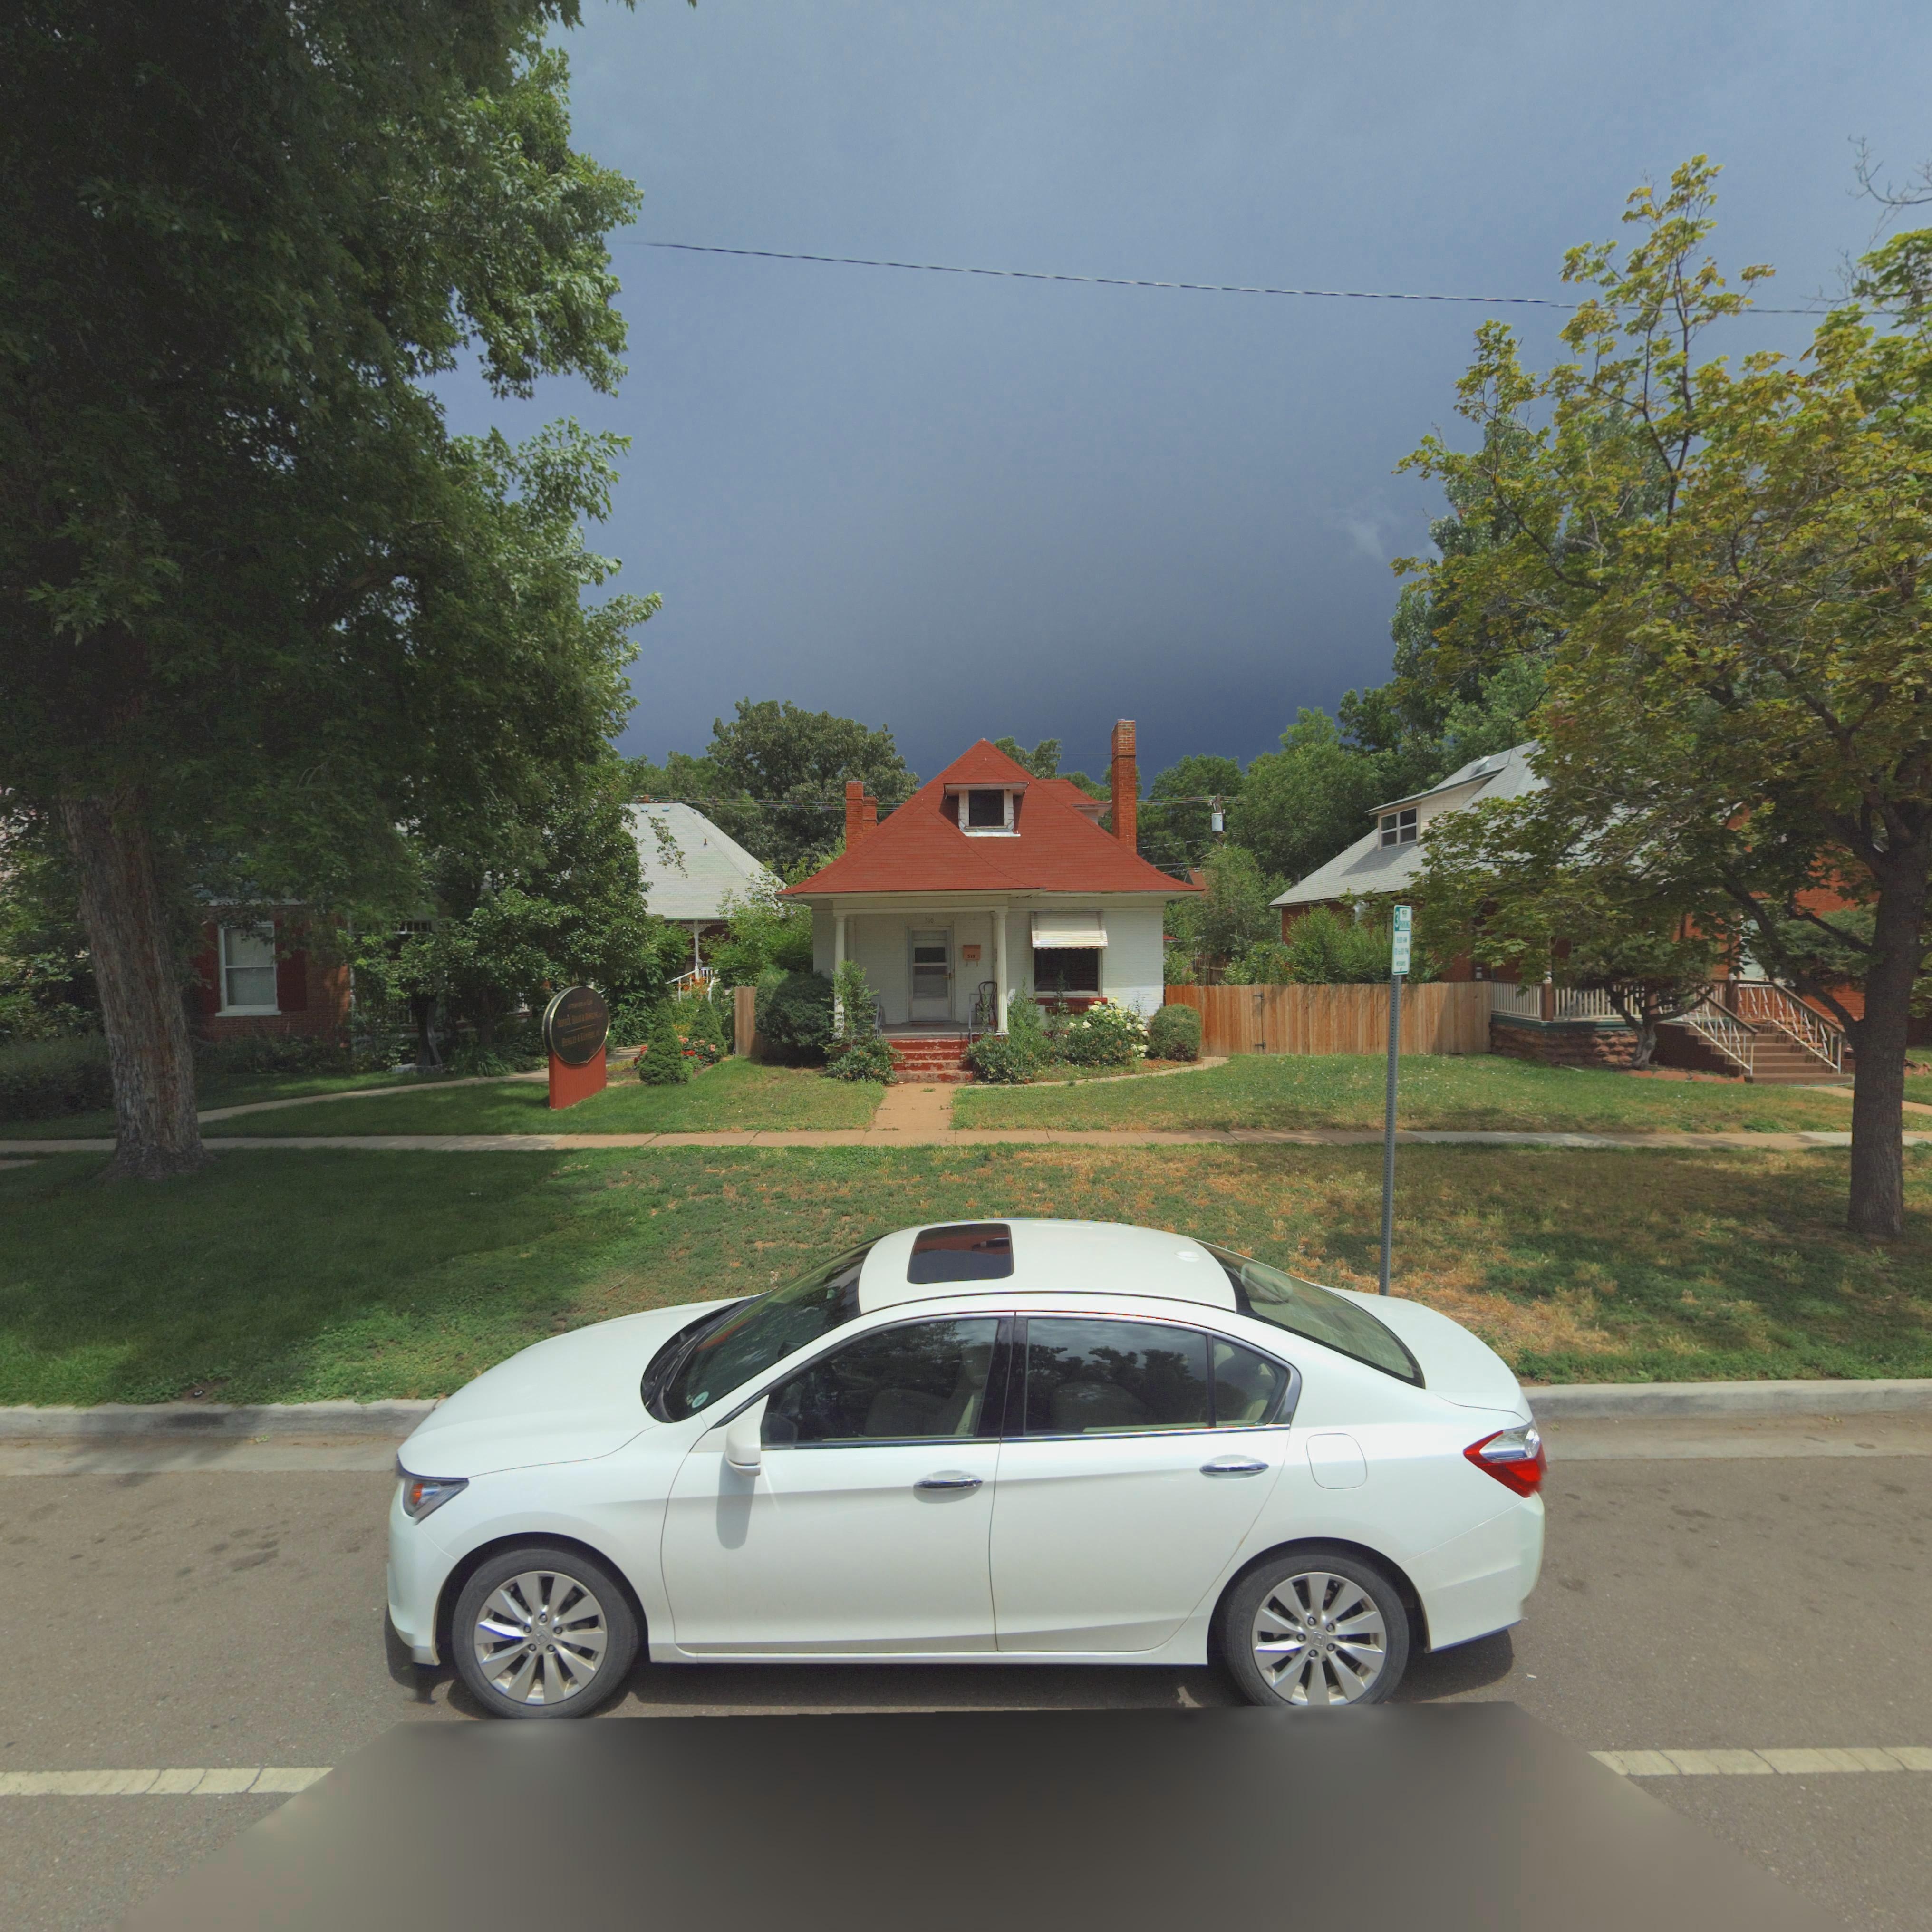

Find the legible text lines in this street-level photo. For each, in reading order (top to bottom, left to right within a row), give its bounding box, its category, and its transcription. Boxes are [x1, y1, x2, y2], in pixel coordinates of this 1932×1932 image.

[925, 918, 934, 923] StreetNumber: 510
[967, 954, 976, 958] StreetNumber: 510
[556, 1008, 603, 1028] BusinessName: S***e* W**** & D*****